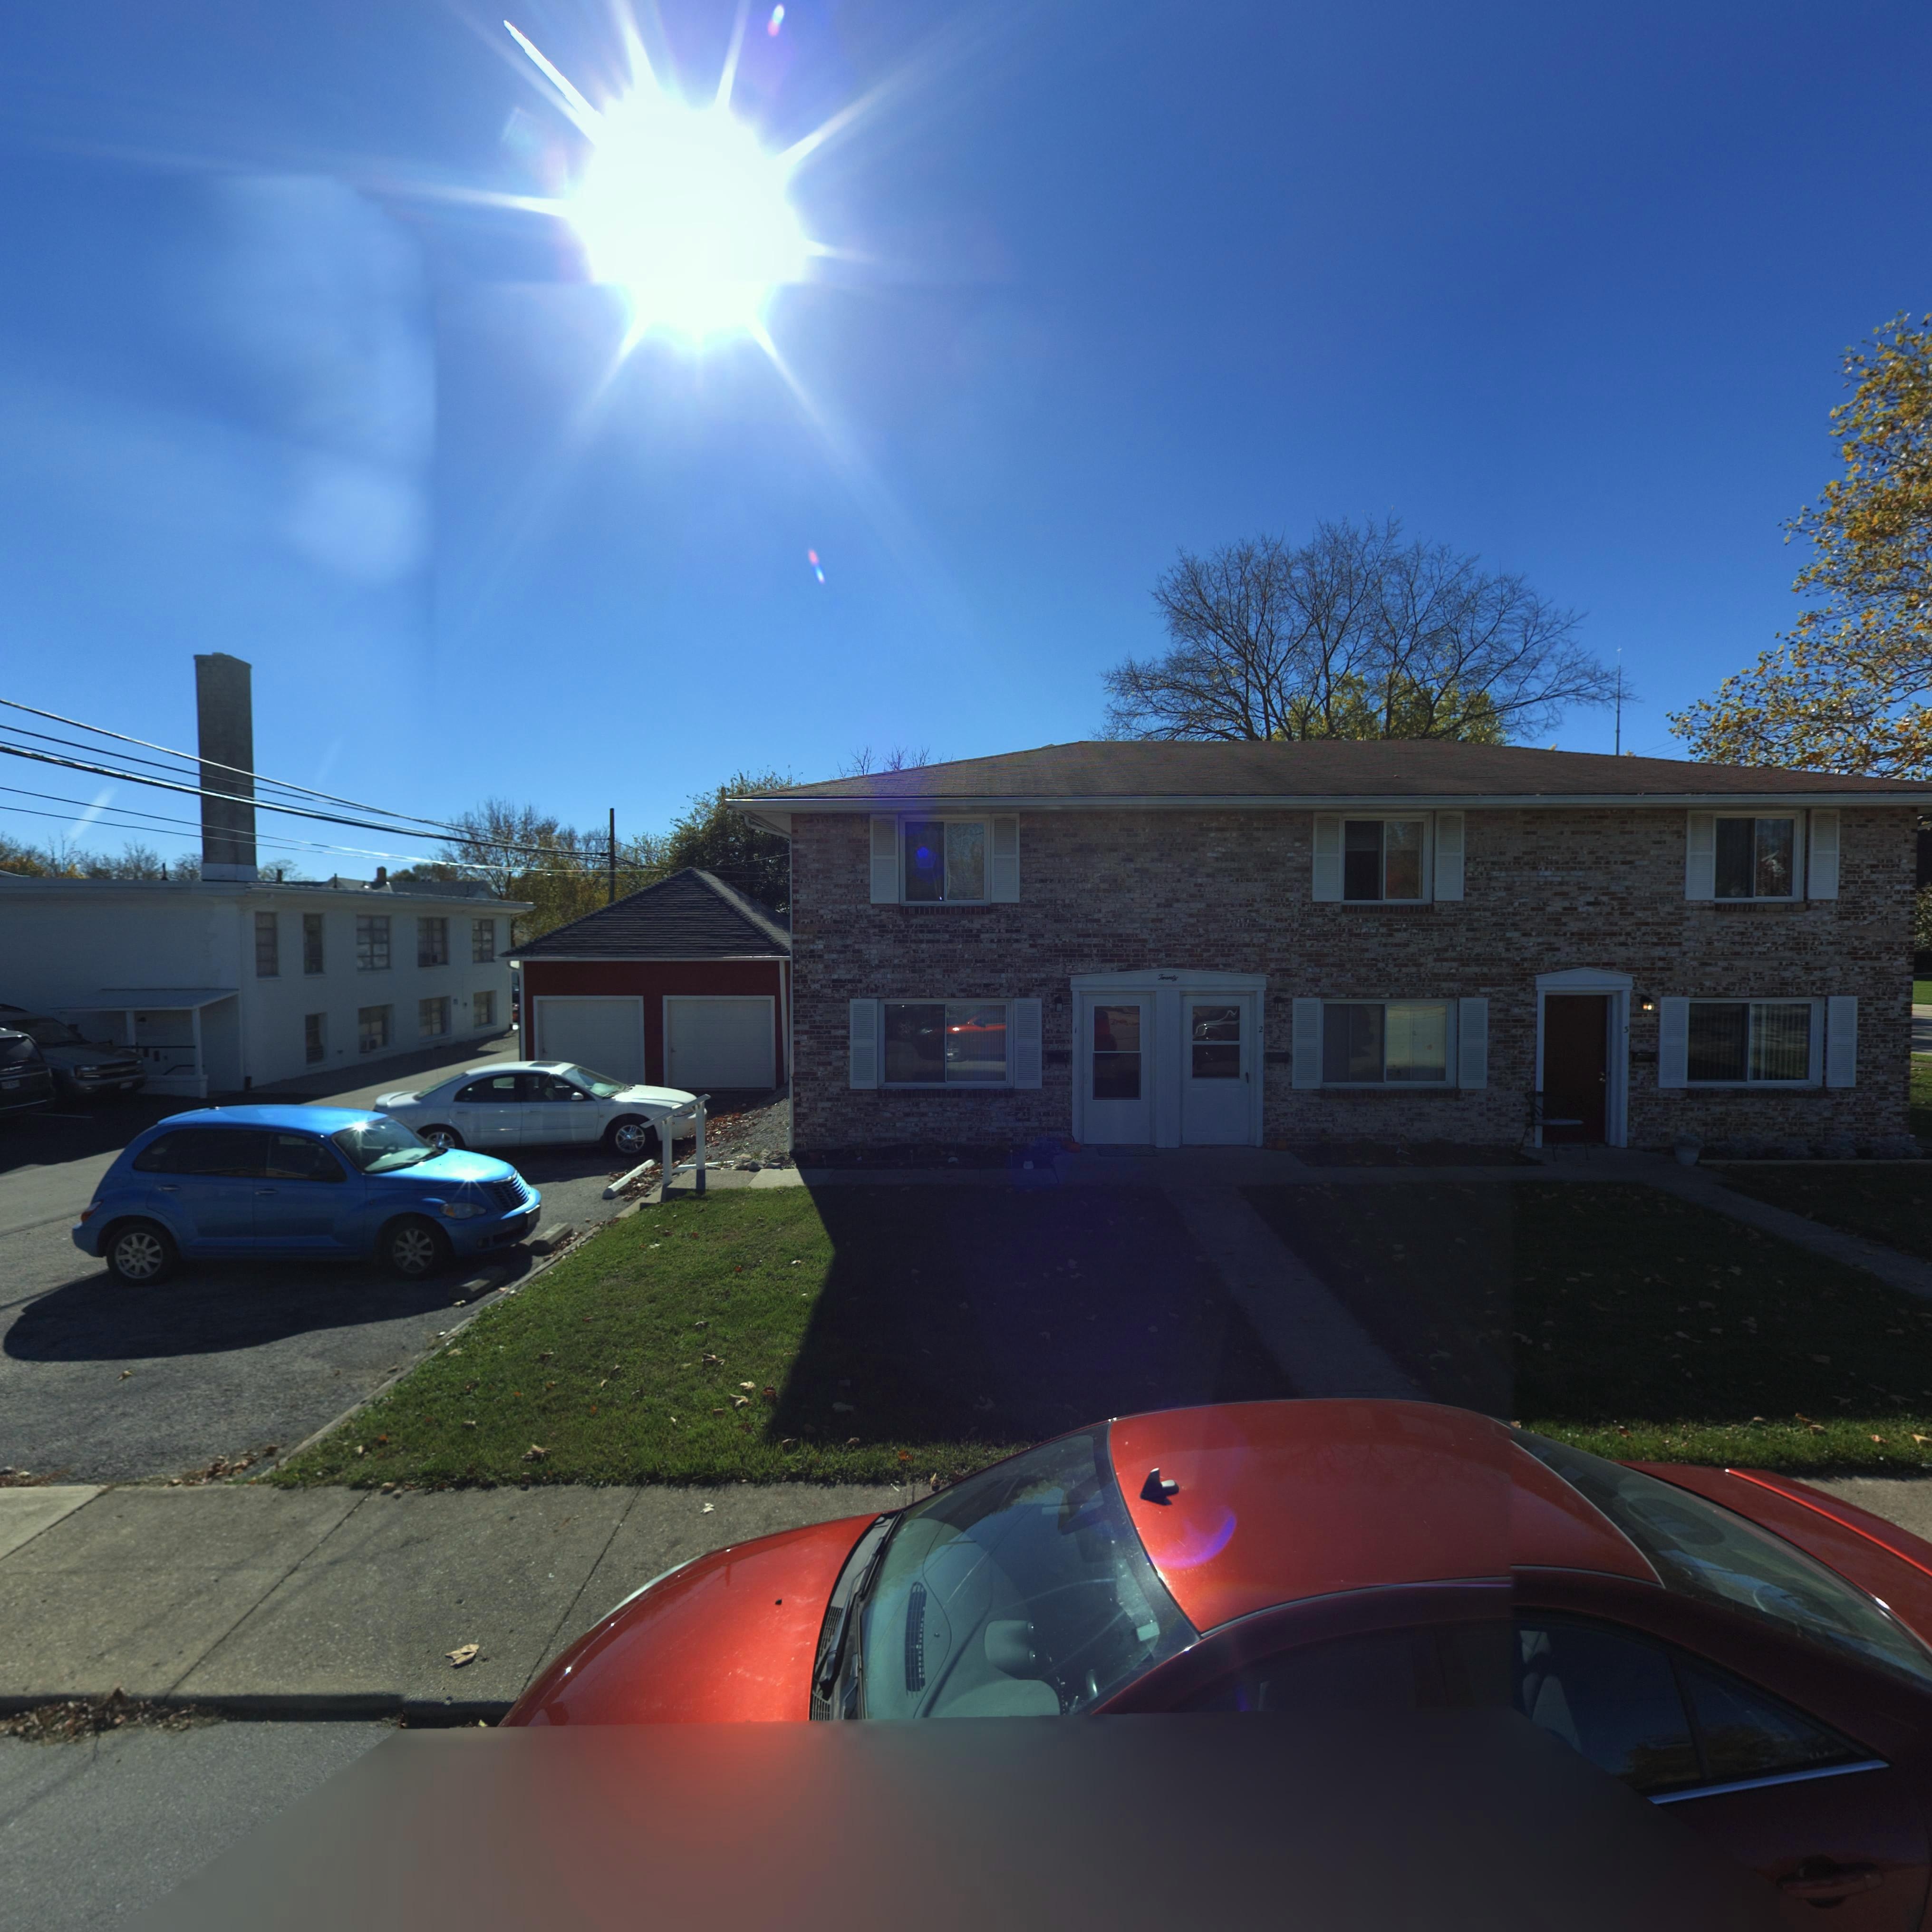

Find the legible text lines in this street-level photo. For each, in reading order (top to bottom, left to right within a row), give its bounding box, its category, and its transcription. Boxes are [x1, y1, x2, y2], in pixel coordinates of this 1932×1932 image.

[1157, 974, 1179, 982] StreetNumber: Twenty